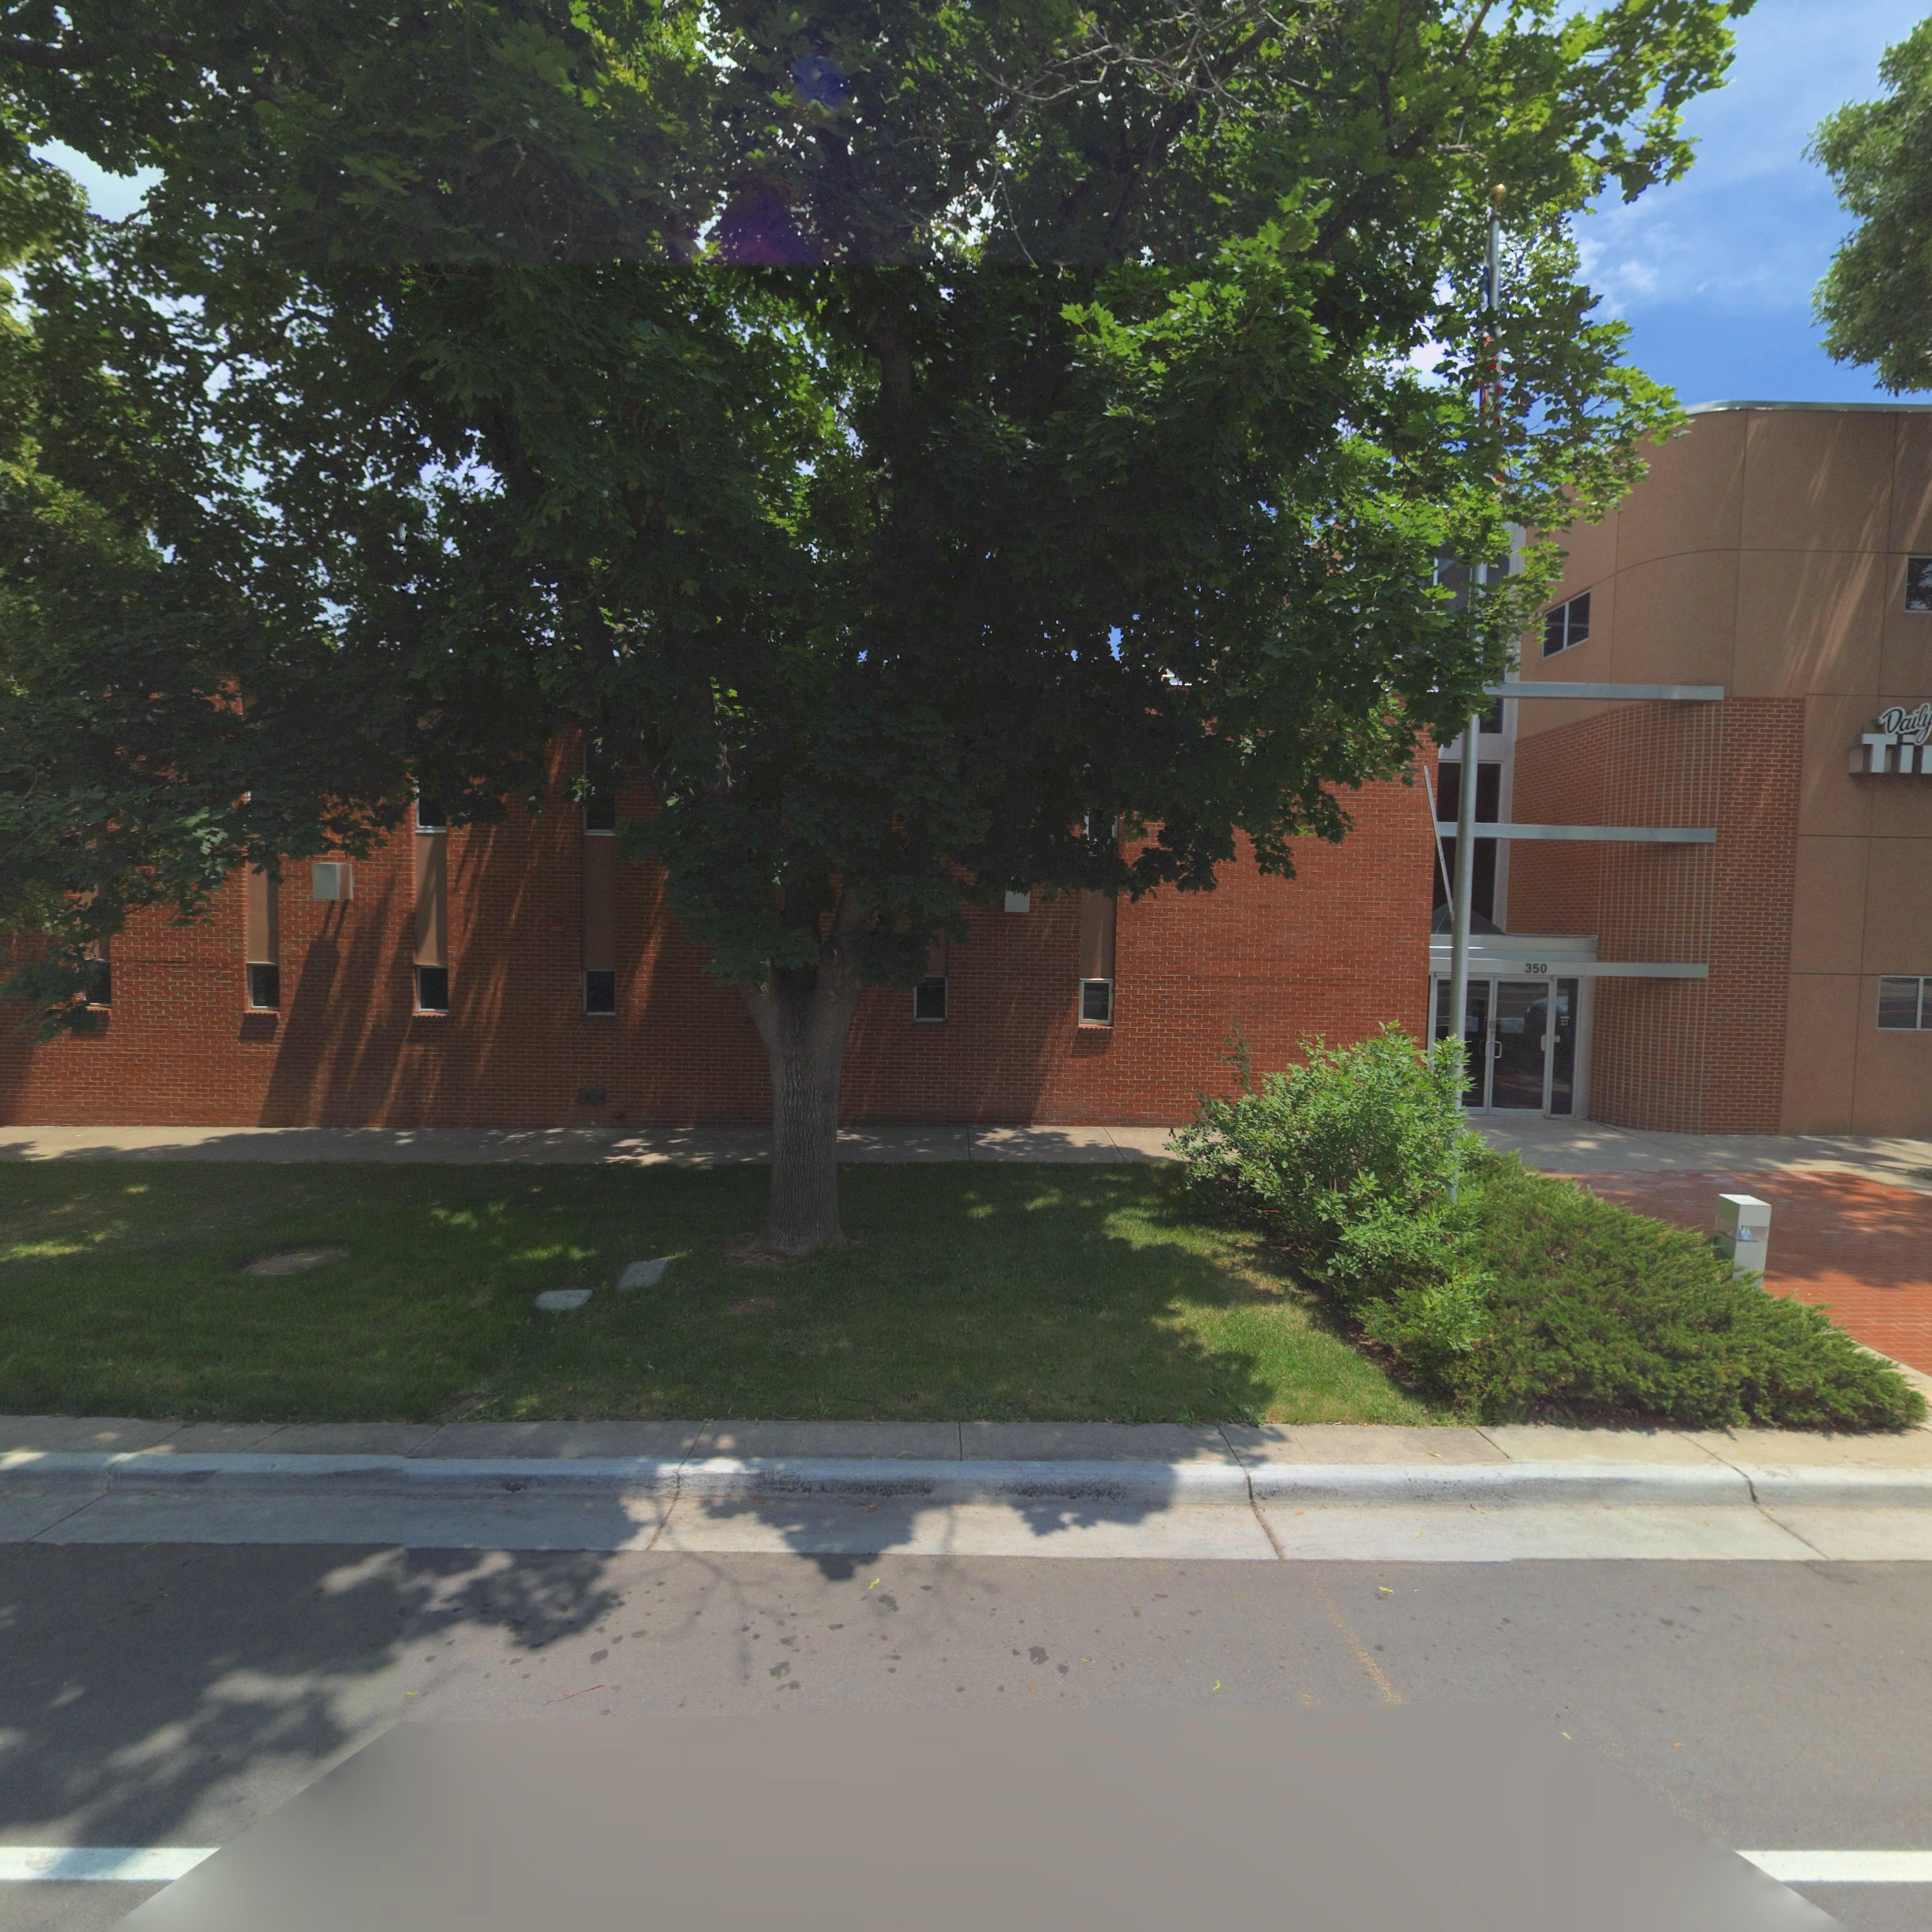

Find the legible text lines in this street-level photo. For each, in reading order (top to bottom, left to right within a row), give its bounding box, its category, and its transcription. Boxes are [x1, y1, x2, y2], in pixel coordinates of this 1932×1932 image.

[1882, 705, 1932, 744] BusinessName: Daily
[1860, 733, 1915, 774] BusinessName: Ti
[1524, 962, 1547, 973] StreetNumber: 350